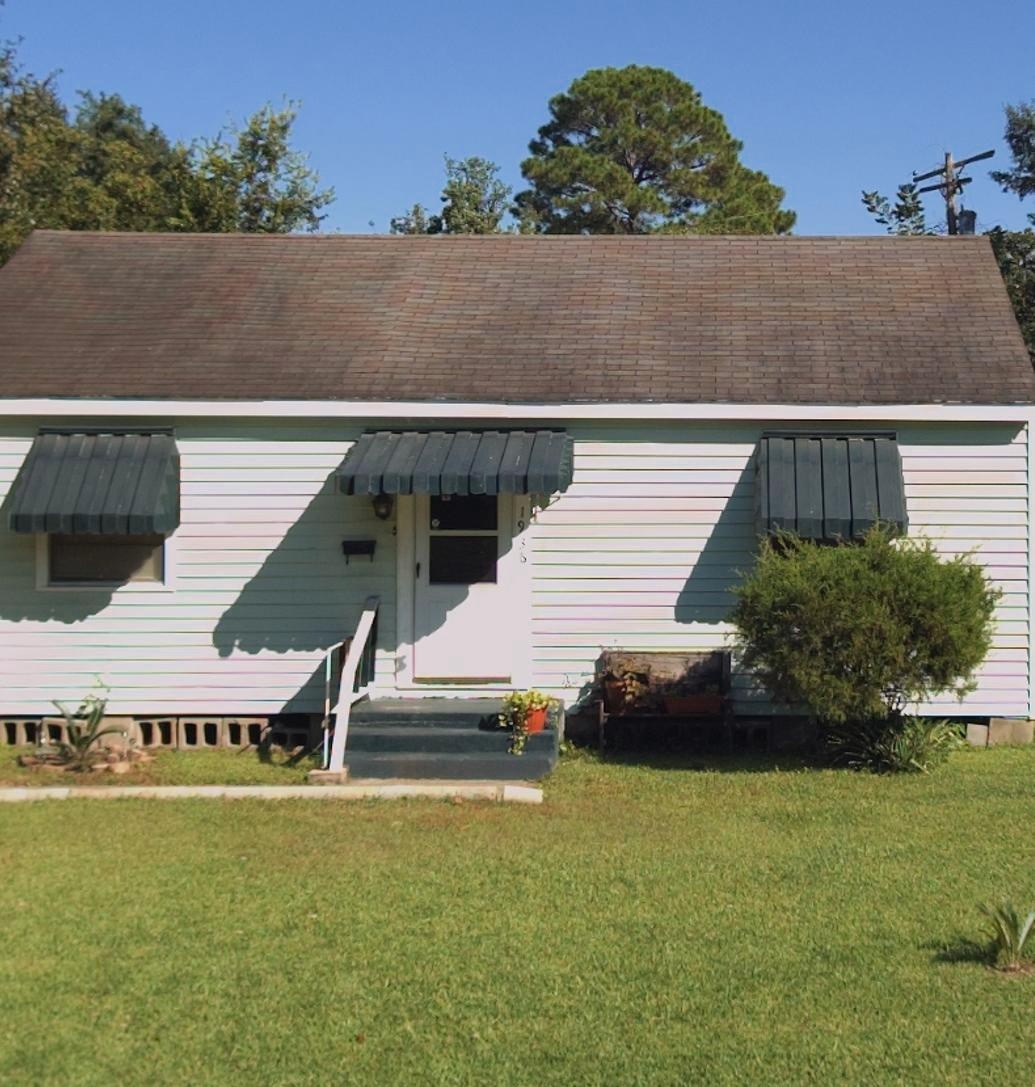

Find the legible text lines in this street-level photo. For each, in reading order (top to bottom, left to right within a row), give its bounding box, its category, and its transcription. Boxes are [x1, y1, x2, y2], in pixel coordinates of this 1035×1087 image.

[516, 504, 528, 565] StreetNumber: 1936